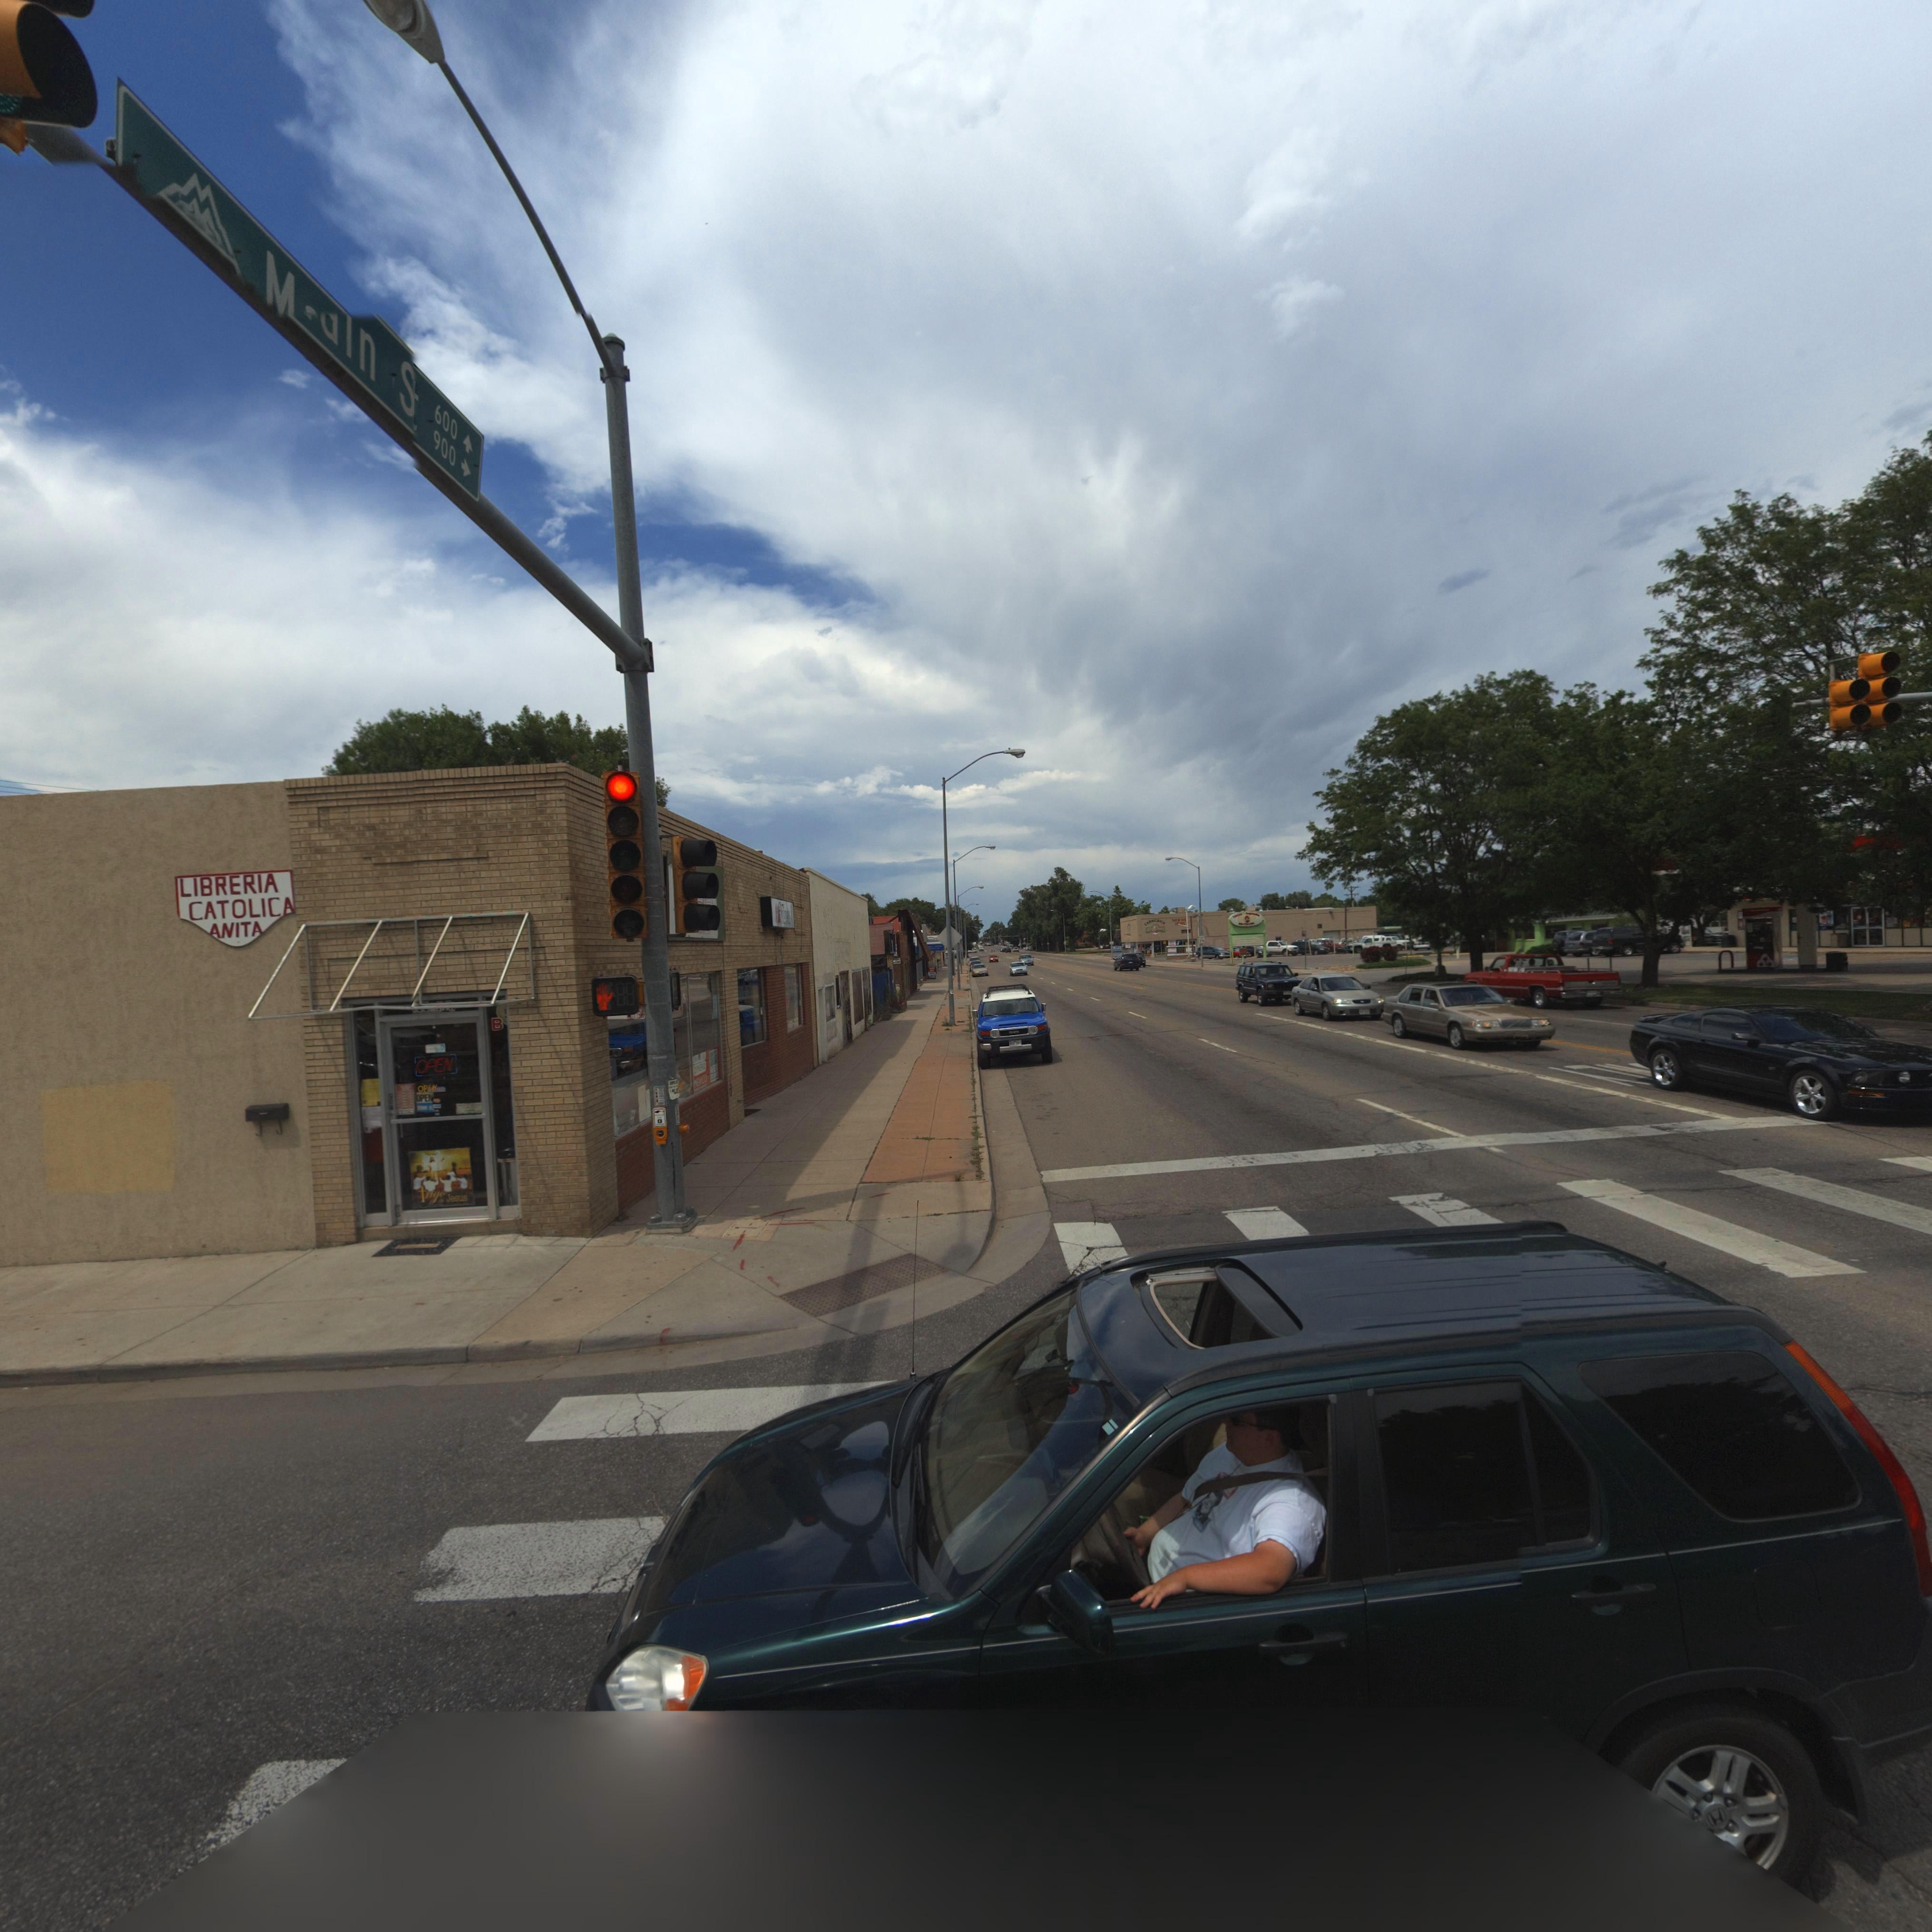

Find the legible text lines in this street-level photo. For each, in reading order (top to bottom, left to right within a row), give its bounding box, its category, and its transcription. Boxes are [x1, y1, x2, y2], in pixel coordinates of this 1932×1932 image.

[266, 249, 379, 385] None: M**n
[399, 357, 415, 417] StreetName: S
[435, 404, 457, 439] StreetNumberRange: 600
[433, 430, 472, 476] StreetNumberRange: 900->
[179, 872, 280, 898] BusinessName: LIBRERIA
[188, 896, 295, 921] BusinessName: CATOLICA
[209, 921, 263, 938] BusinessName: ANITA
[1144, 918, 1165, 926] BusinessName: CARNICERIA
[492, 1016, 503, 1031] SecondaryUnitDesignator: B